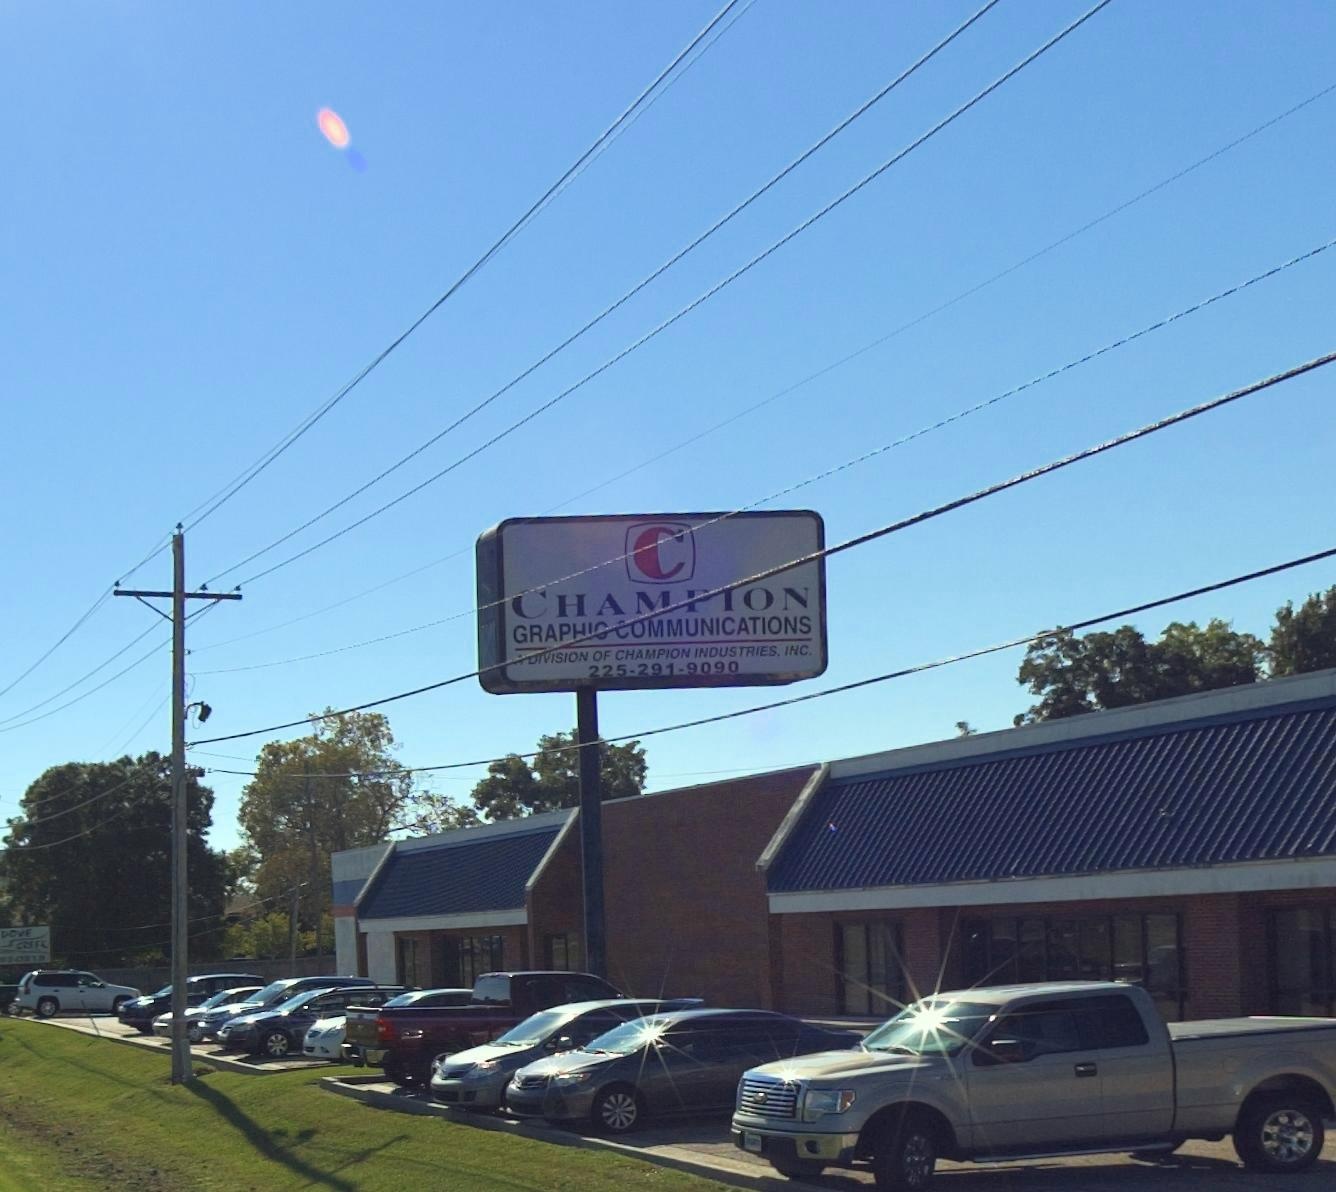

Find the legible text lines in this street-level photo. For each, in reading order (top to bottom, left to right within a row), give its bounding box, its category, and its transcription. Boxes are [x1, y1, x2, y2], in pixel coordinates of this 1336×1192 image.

[629, 524, 692, 583] None: C
[508, 583, 811, 622] BusinessName: CHA***ON
[510, 612, 816, 648] BusinessName: GRAP*****MMUNICATIONS
[586, 659, 740, 680] None: 225-291-9090
[541, 641, 816, 667] BusinessName: VISION OF CHAMPION INDUSTRIES, INC.
[0, 926, 35, 941] BusinessName: DOVE